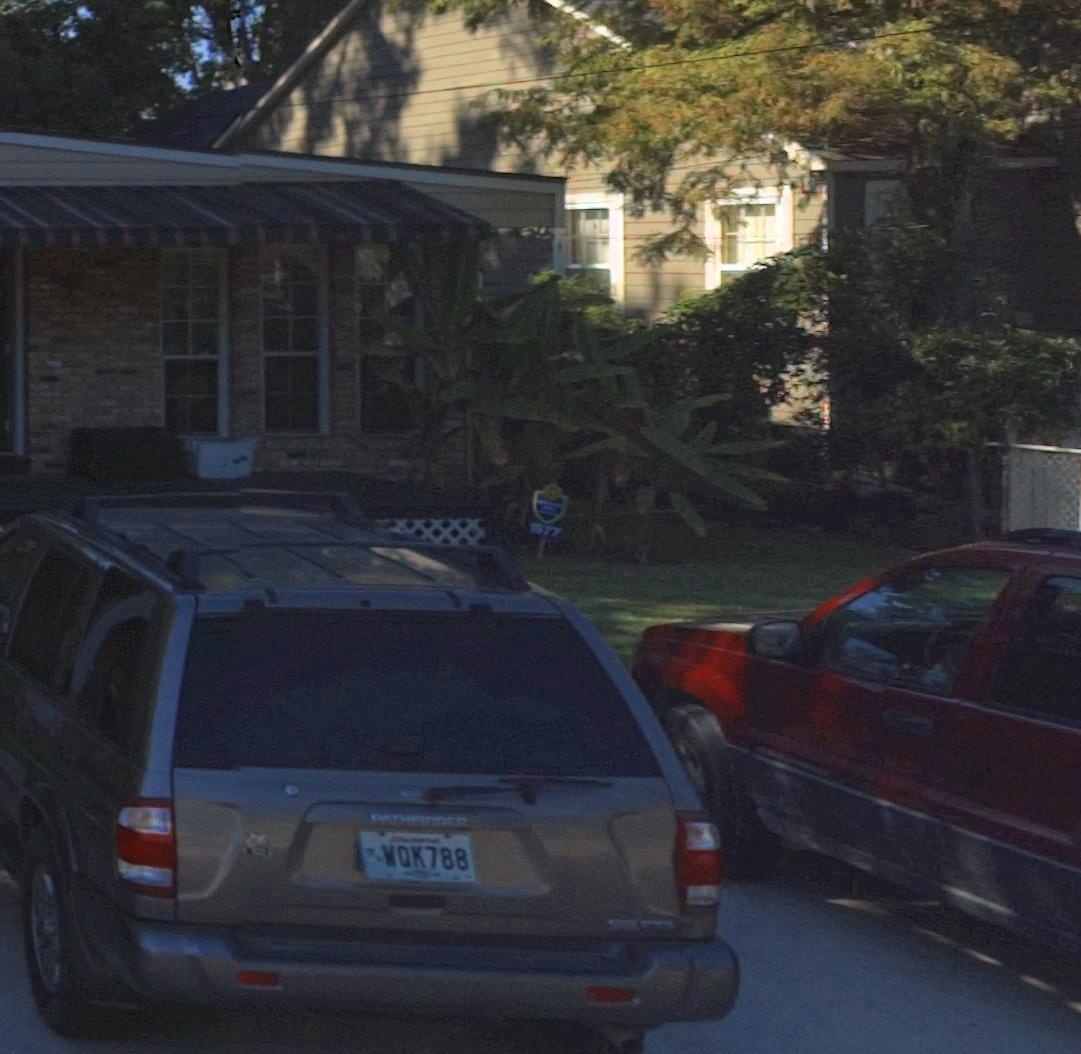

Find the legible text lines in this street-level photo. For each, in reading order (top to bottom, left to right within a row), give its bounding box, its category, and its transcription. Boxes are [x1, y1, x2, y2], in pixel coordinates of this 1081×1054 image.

[524, 520, 567, 541] StreetNumber: **77
[364, 811, 473, 829] None: PATHFINDER
[375, 840, 474, 874] None: WQK788